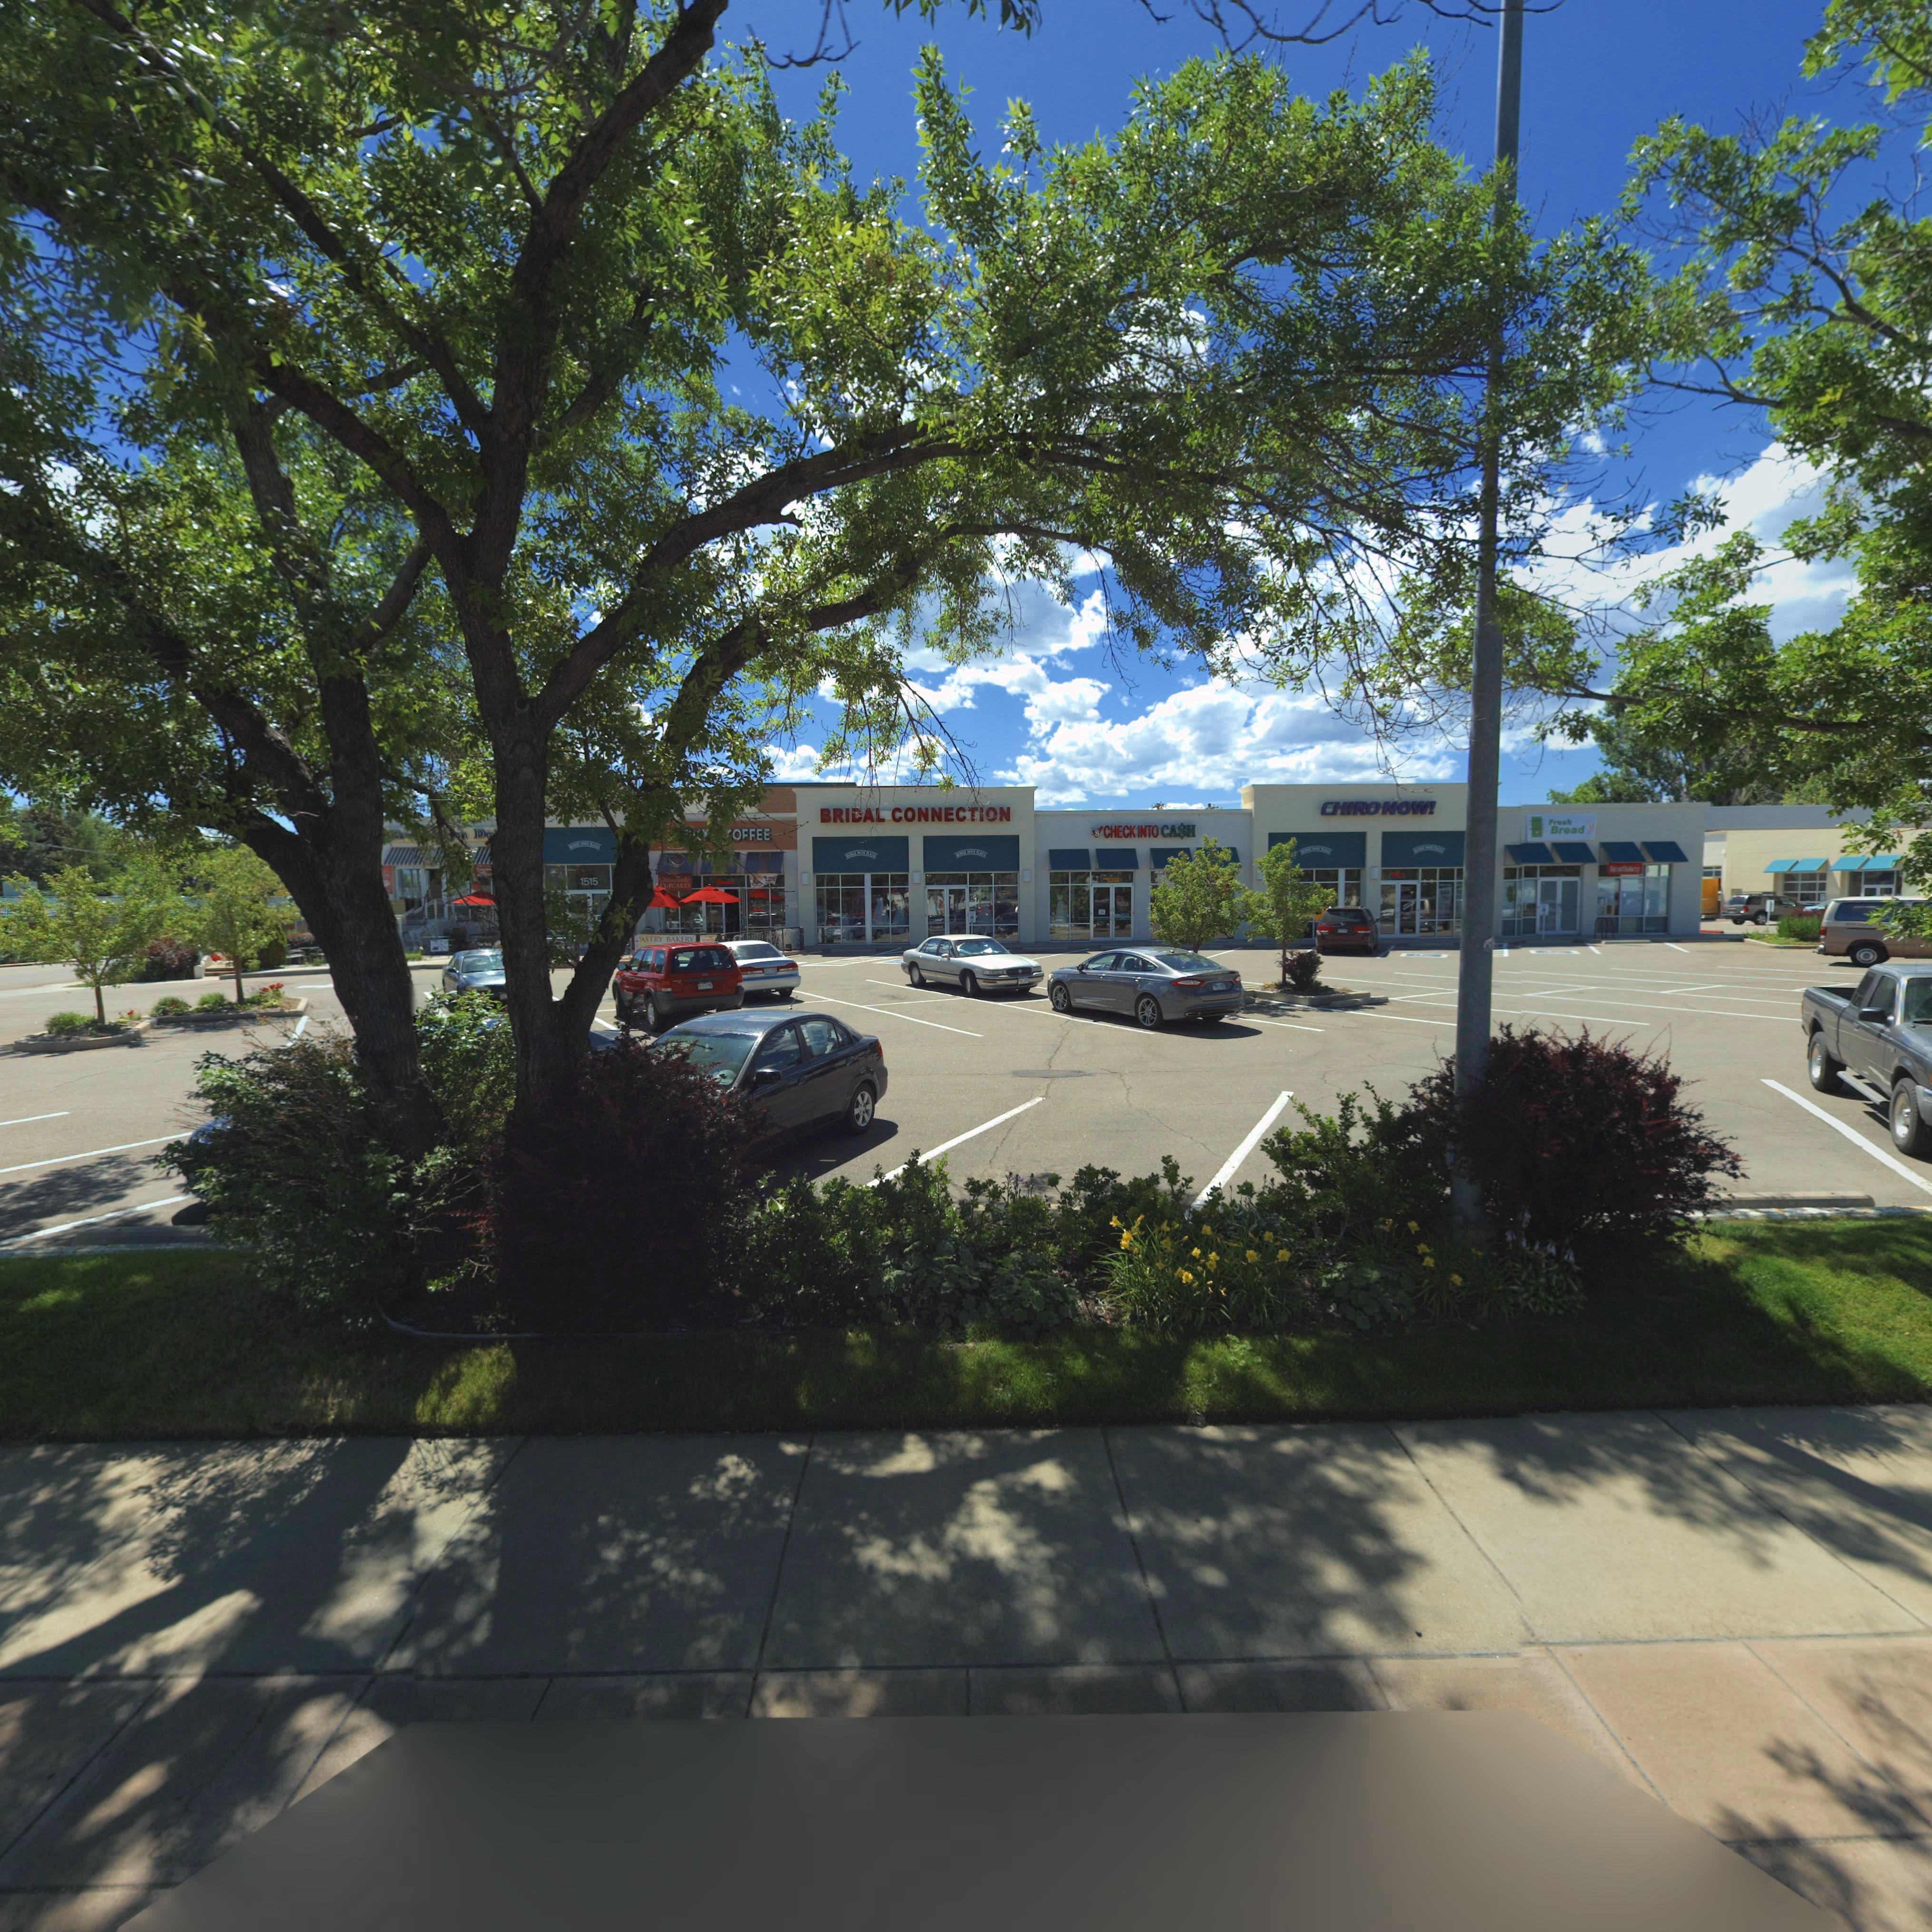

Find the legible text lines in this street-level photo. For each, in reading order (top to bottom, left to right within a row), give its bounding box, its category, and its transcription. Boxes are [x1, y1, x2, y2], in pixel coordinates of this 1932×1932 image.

[820, 807, 1010, 823] BusinessName: BRIDAL CONNECTION
[1321, 800, 1437, 815] BusinessName: CHIRO NOW!
[391, 828, 498, 842] BusinessName: Br*****n De**
[667, 828, 770, 840] BusinessName: ***KY* COFFEE
[1102, 824, 1196, 839] BusinessName: CHECK INTO CASH
[580, 877, 597, 885] StreetNumber: 1515